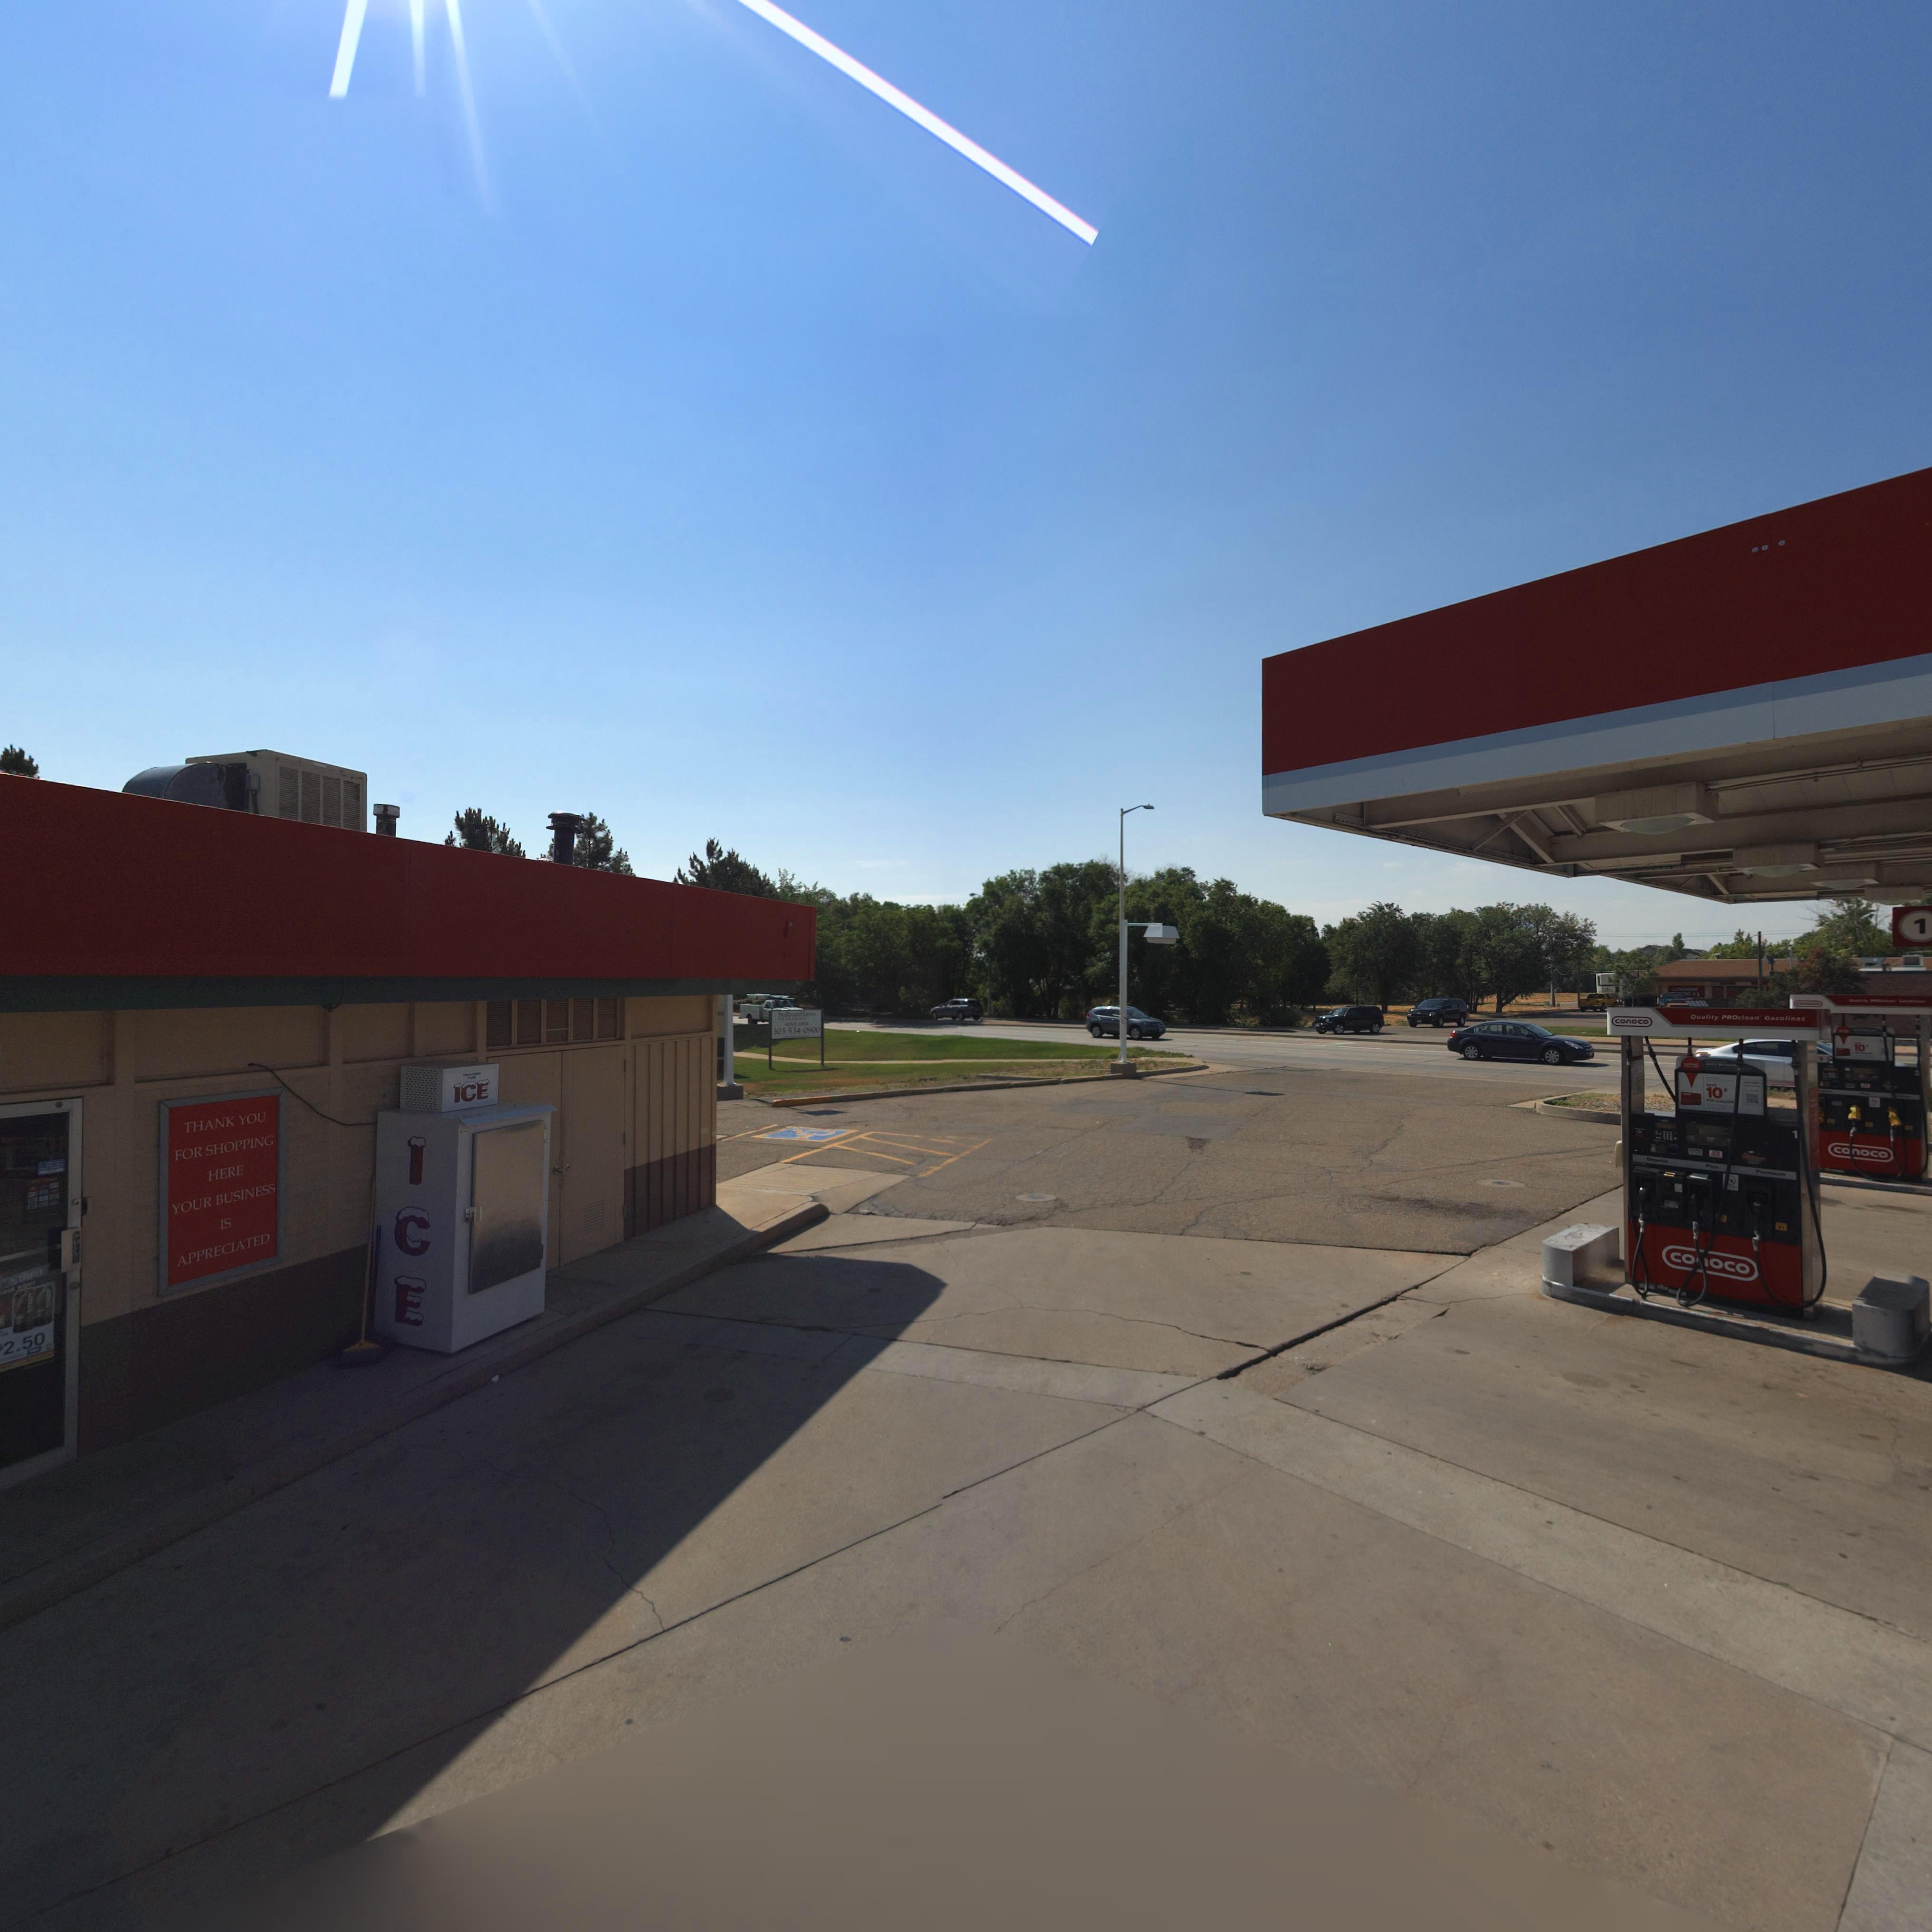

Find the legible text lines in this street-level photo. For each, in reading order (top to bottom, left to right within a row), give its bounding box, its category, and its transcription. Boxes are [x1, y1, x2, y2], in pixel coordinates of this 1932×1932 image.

[1796, 1001, 1820, 1005] BusinessName: c*****
[1614, 1018, 1648, 1024] BusinessName: conoco
[1833, 1146, 1888, 1158] BusinessName: conoco
[1670, 1252, 1750, 1275] BusinessName: co*oco